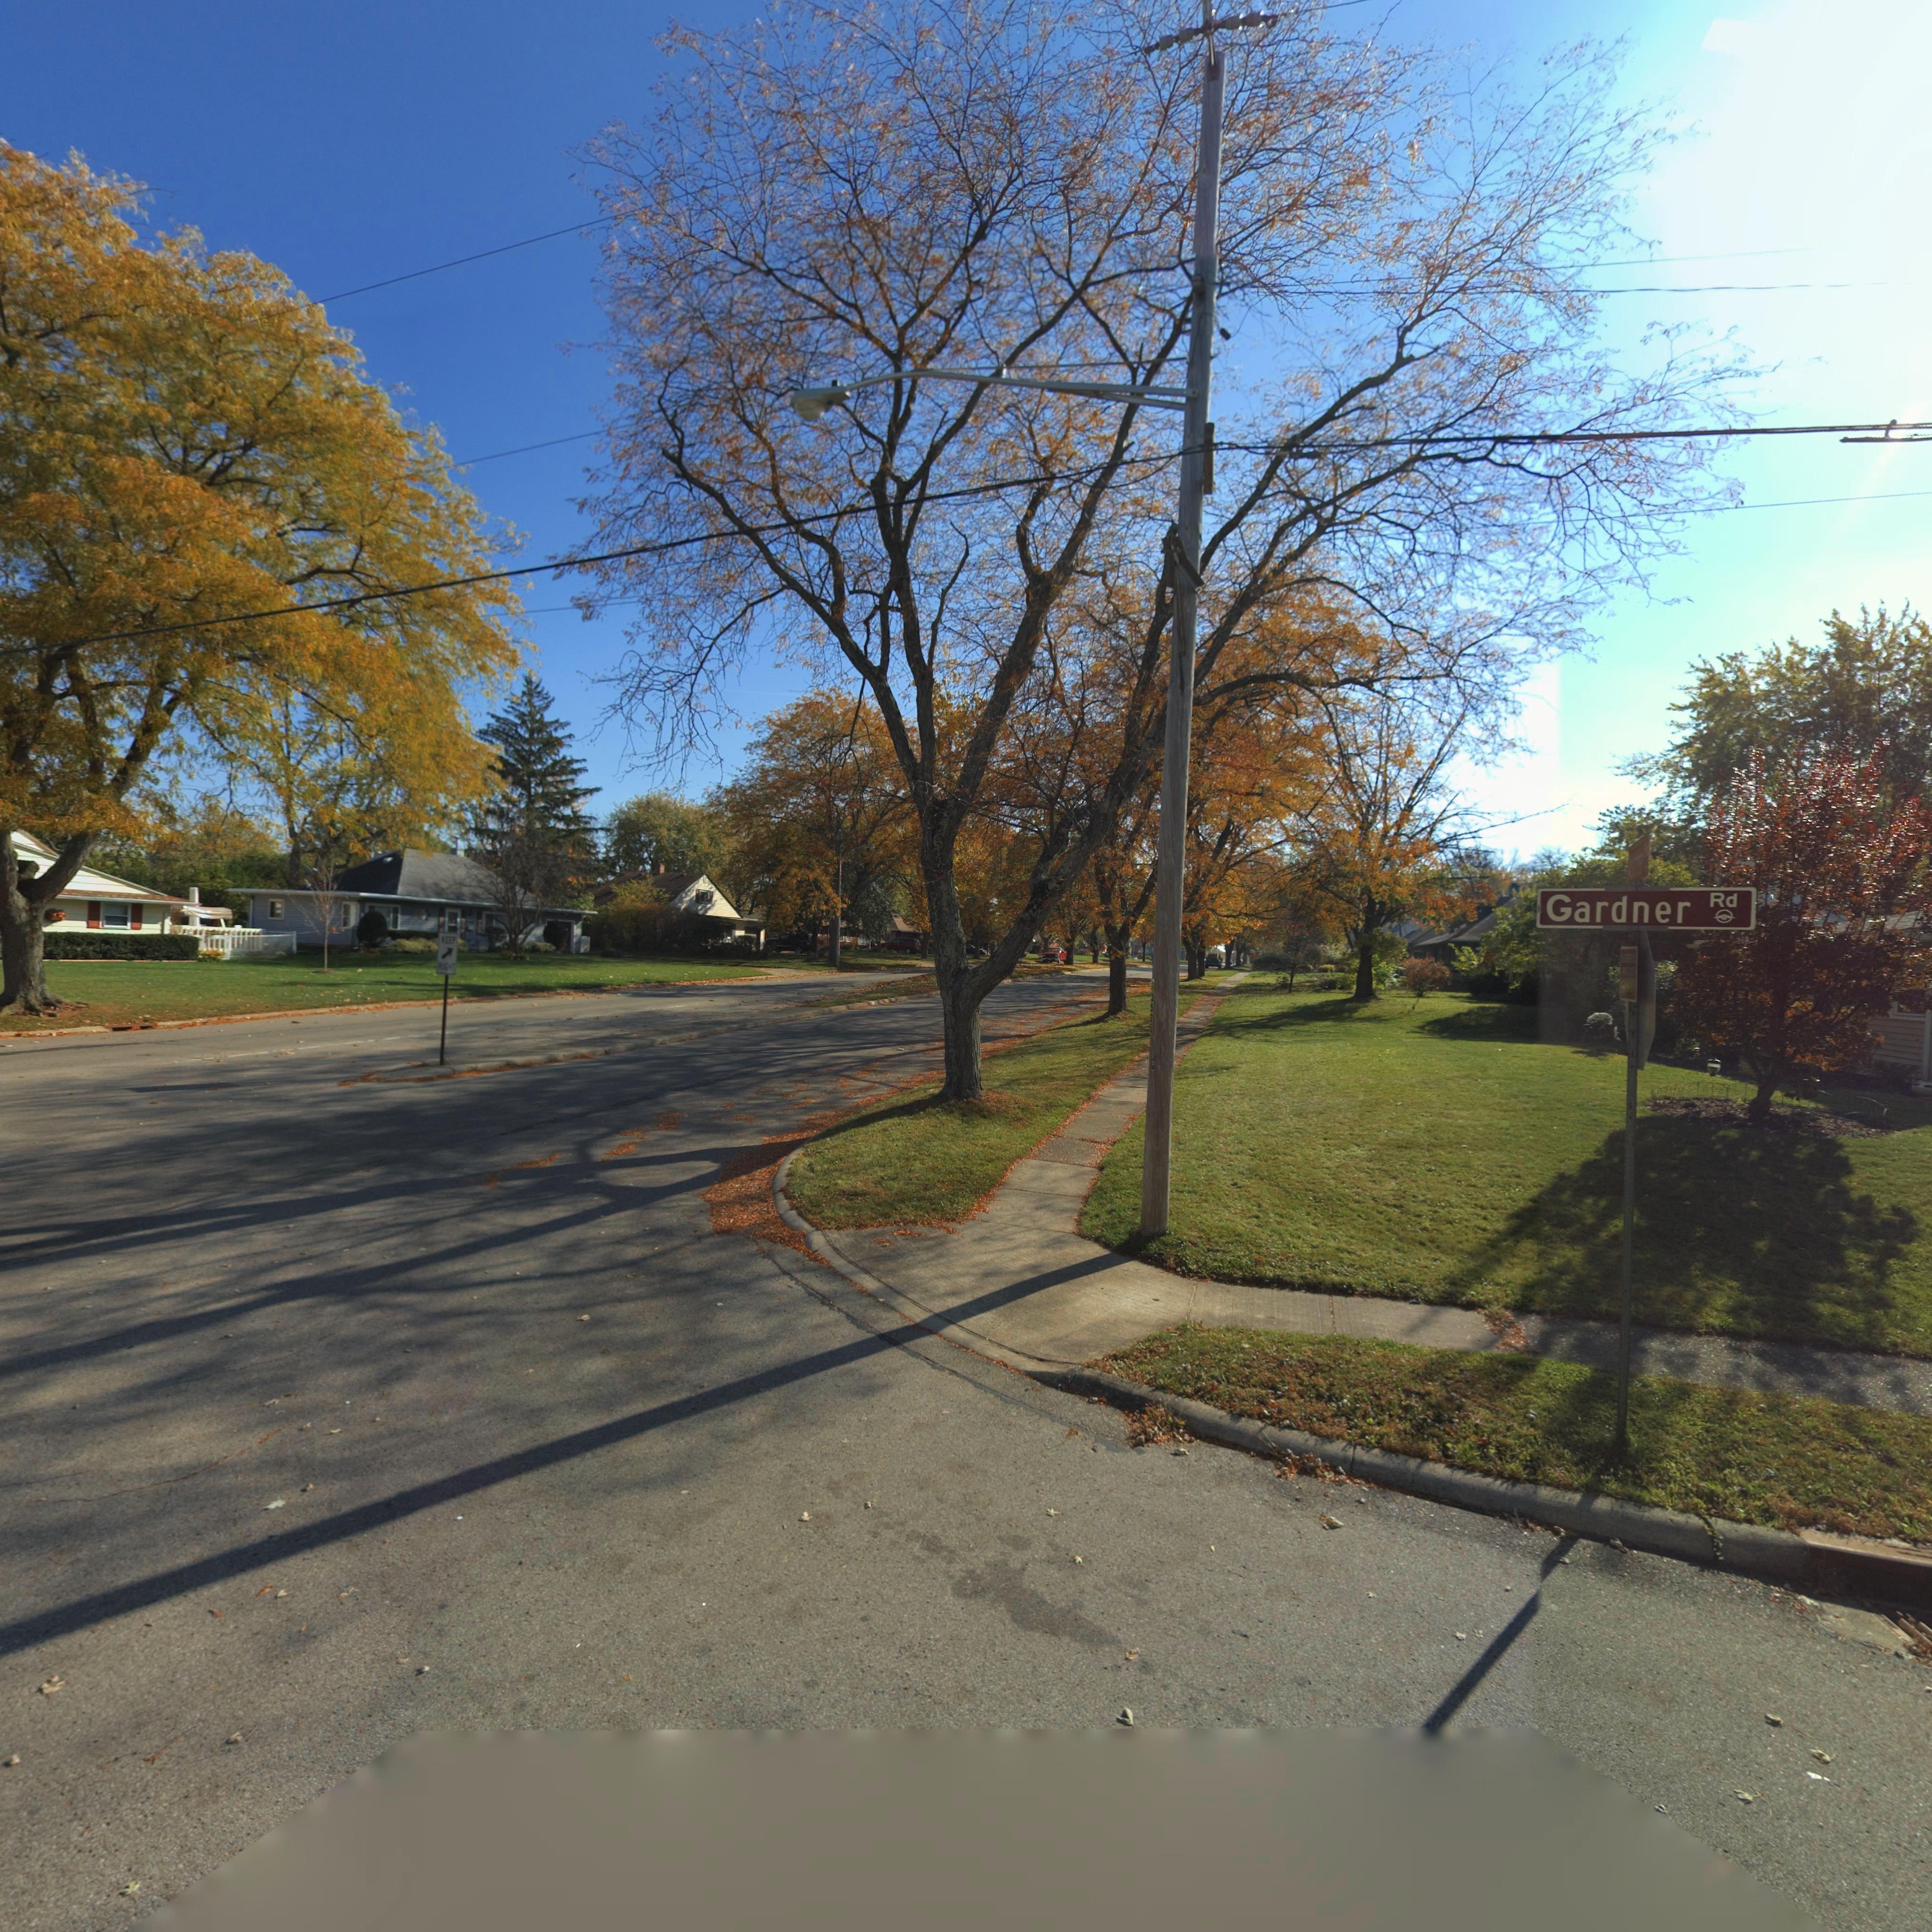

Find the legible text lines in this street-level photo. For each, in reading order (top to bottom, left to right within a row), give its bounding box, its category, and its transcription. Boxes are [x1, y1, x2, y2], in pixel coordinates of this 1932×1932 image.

[1544, 889, 1739, 926] StreetName: Gardner Rd
[439, 934, 458, 946] None: KEEP